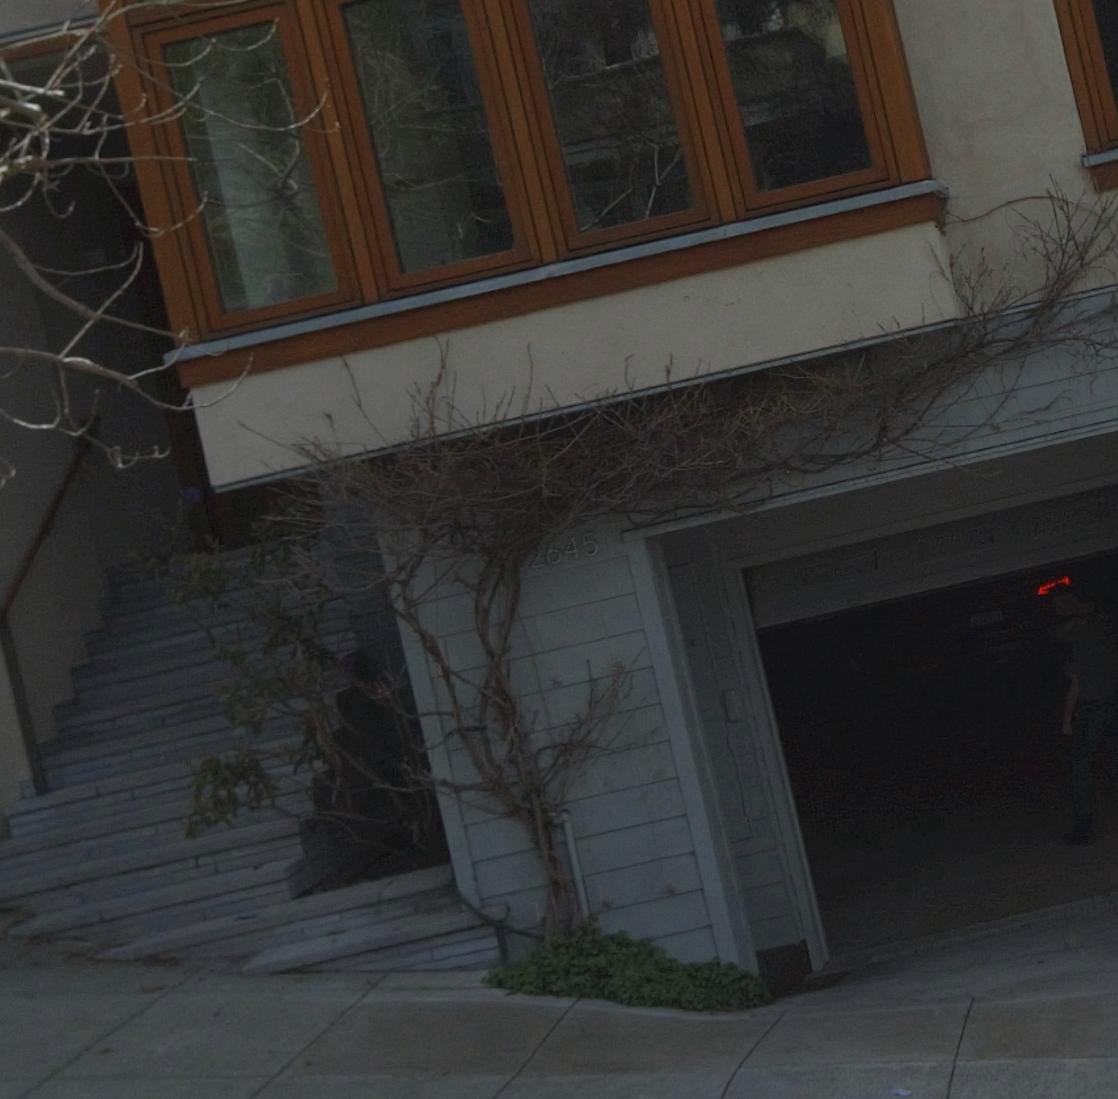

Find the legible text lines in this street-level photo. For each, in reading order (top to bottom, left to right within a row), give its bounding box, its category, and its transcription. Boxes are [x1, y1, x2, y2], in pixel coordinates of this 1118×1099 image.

[528, 528, 602, 574] StreetNumber: *645